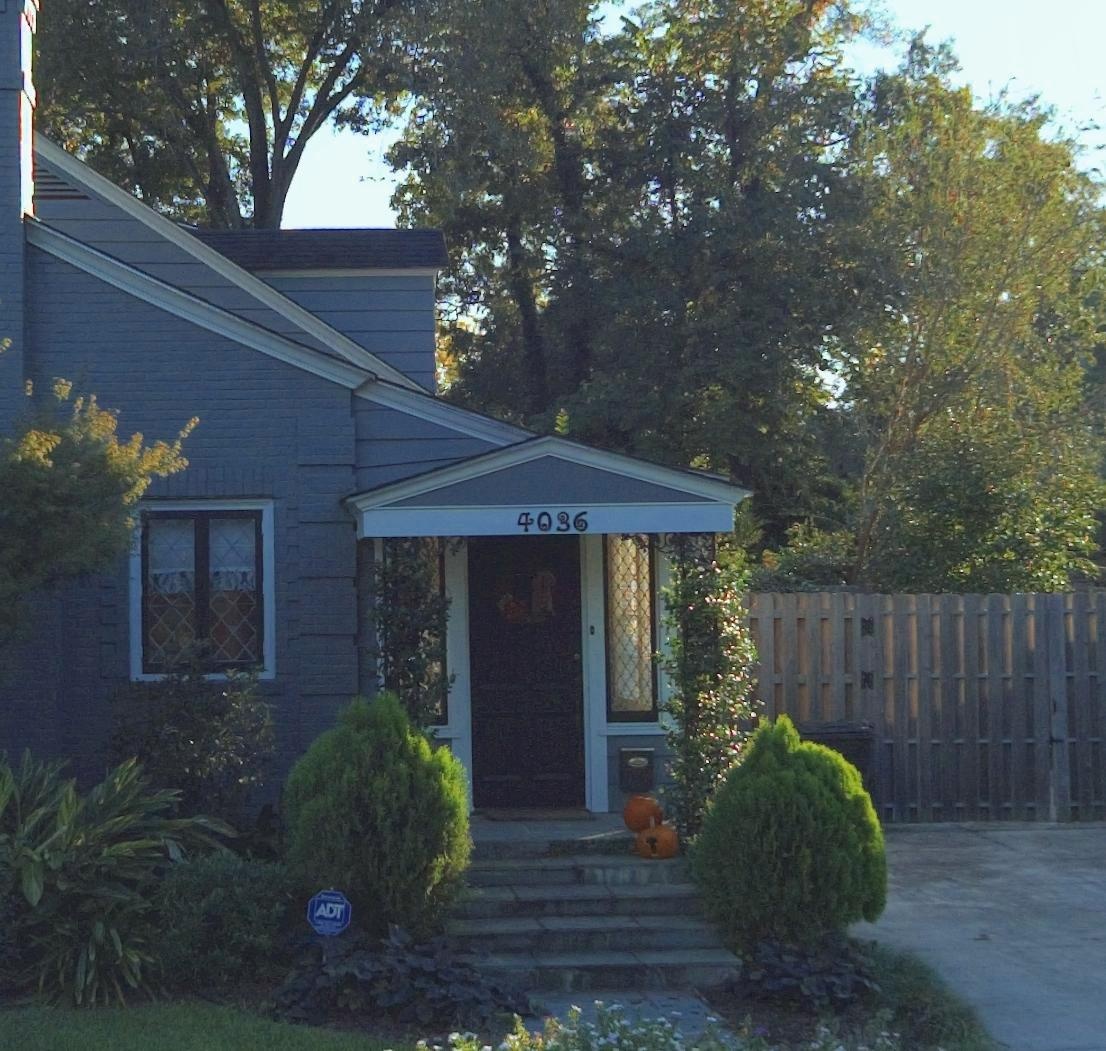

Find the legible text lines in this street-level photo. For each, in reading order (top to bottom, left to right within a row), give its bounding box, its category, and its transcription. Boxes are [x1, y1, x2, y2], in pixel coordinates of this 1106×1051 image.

[515, 509, 590, 534] StreetNumber: 4036
[312, 900, 347, 922] None: ADT